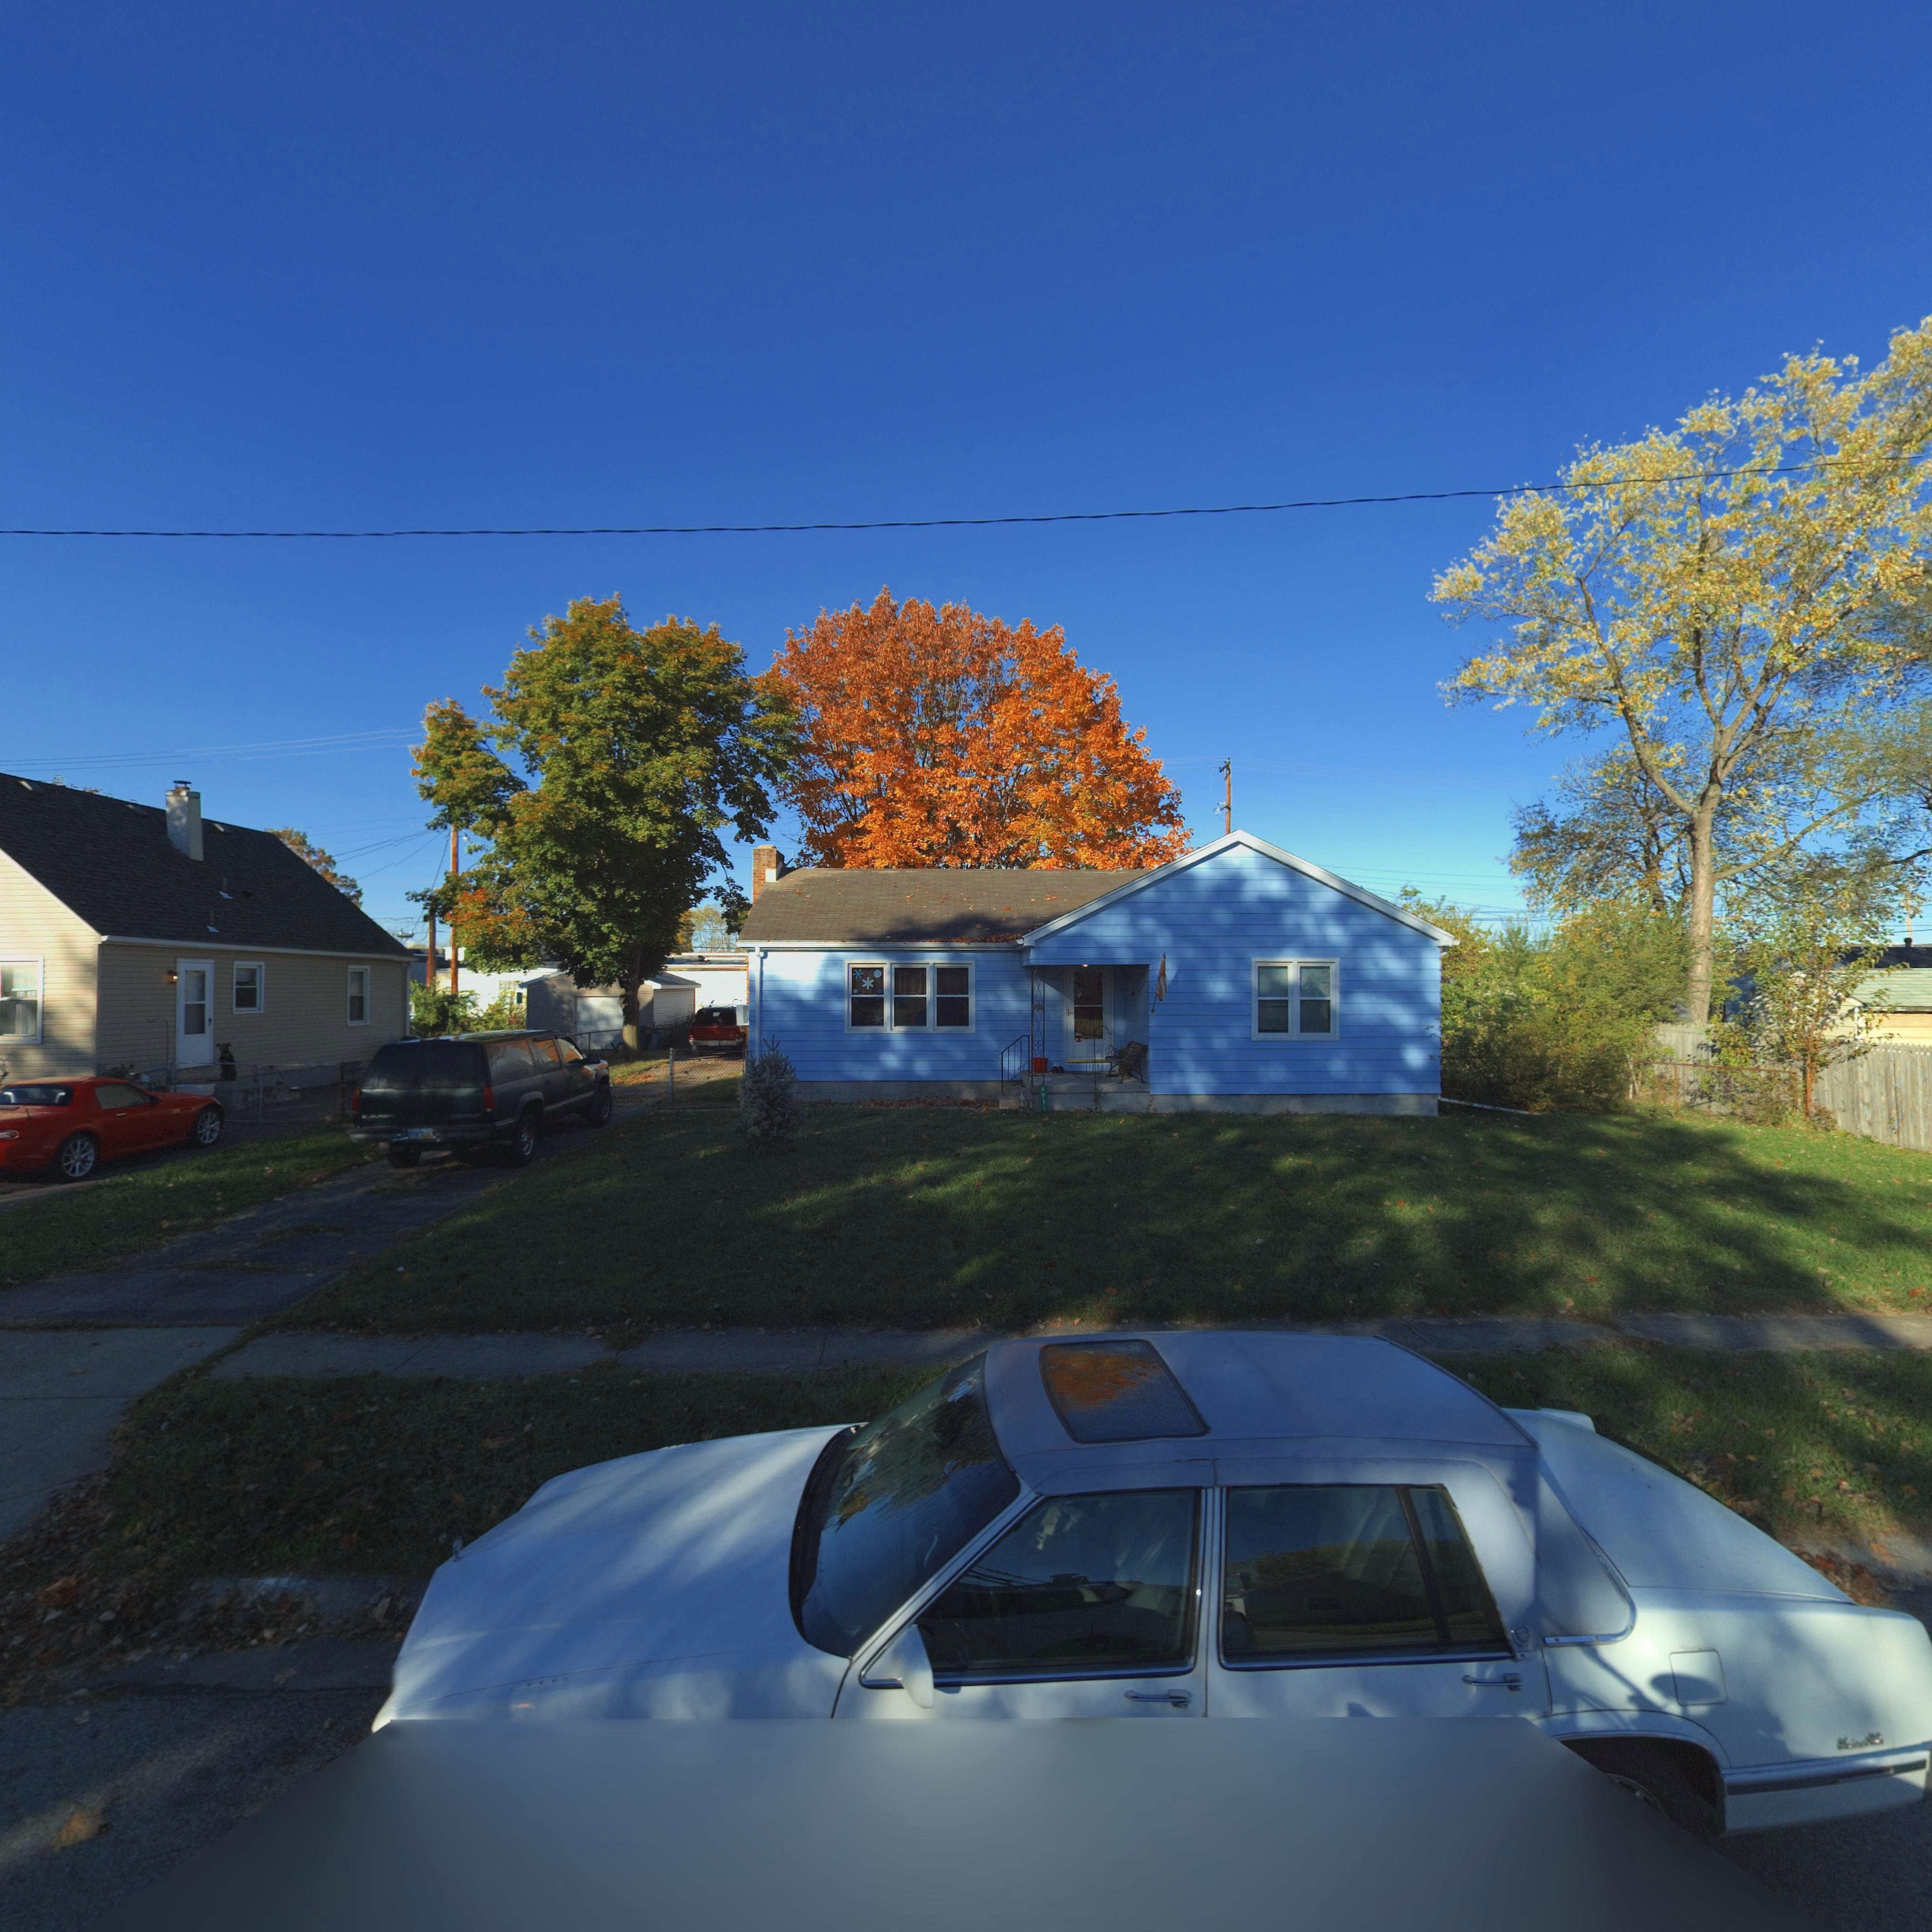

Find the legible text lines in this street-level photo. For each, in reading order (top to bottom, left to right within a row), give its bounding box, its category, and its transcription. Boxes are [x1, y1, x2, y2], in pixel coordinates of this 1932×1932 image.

[1040, 1086, 1046, 1112] StreetNumber: 4911